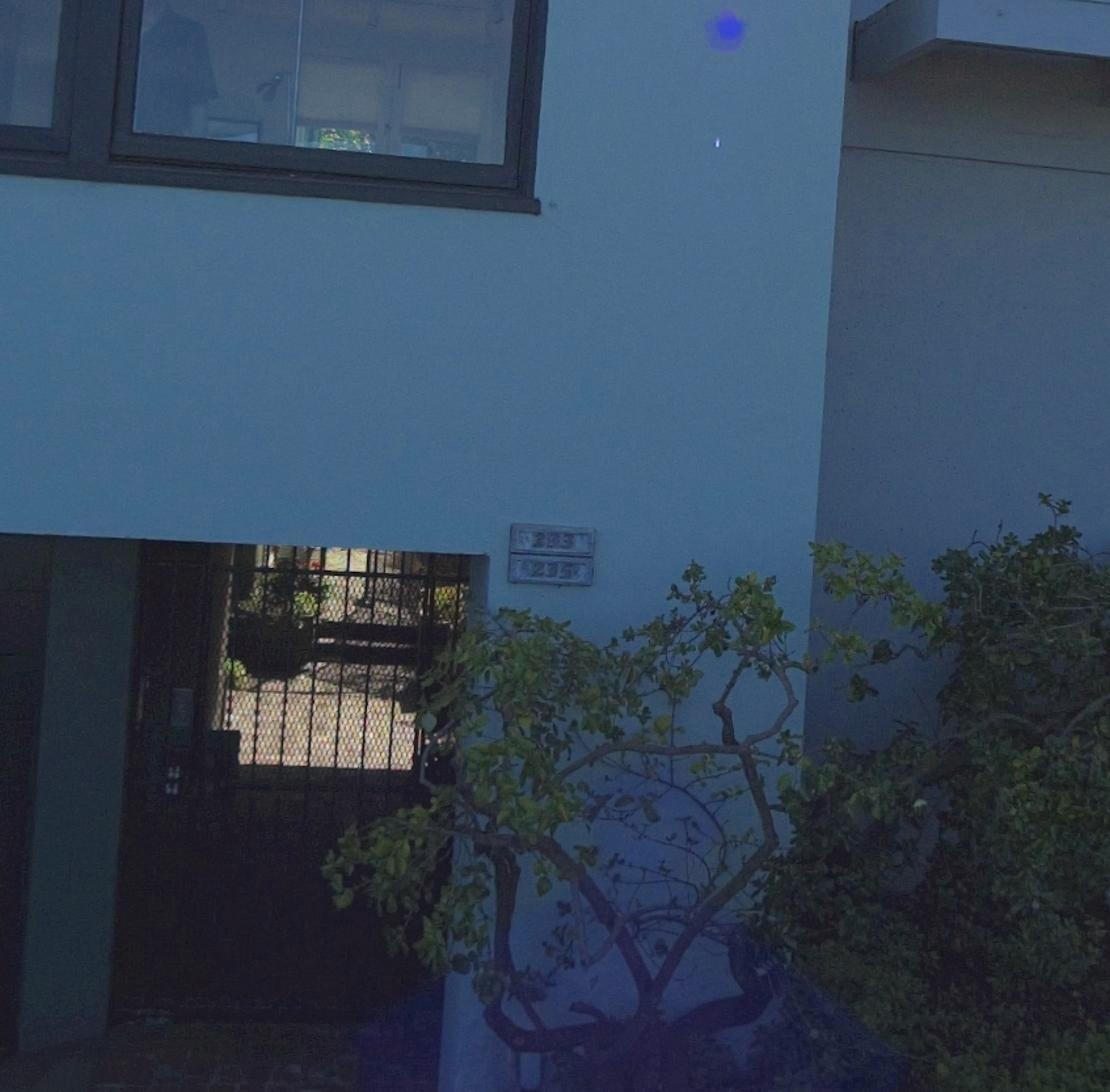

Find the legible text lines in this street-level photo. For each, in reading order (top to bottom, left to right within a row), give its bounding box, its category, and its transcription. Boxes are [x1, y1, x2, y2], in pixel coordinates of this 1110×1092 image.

[532, 531, 575, 550] StreetNumber: 233
[530, 561, 574, 579] StreetNumber: 235